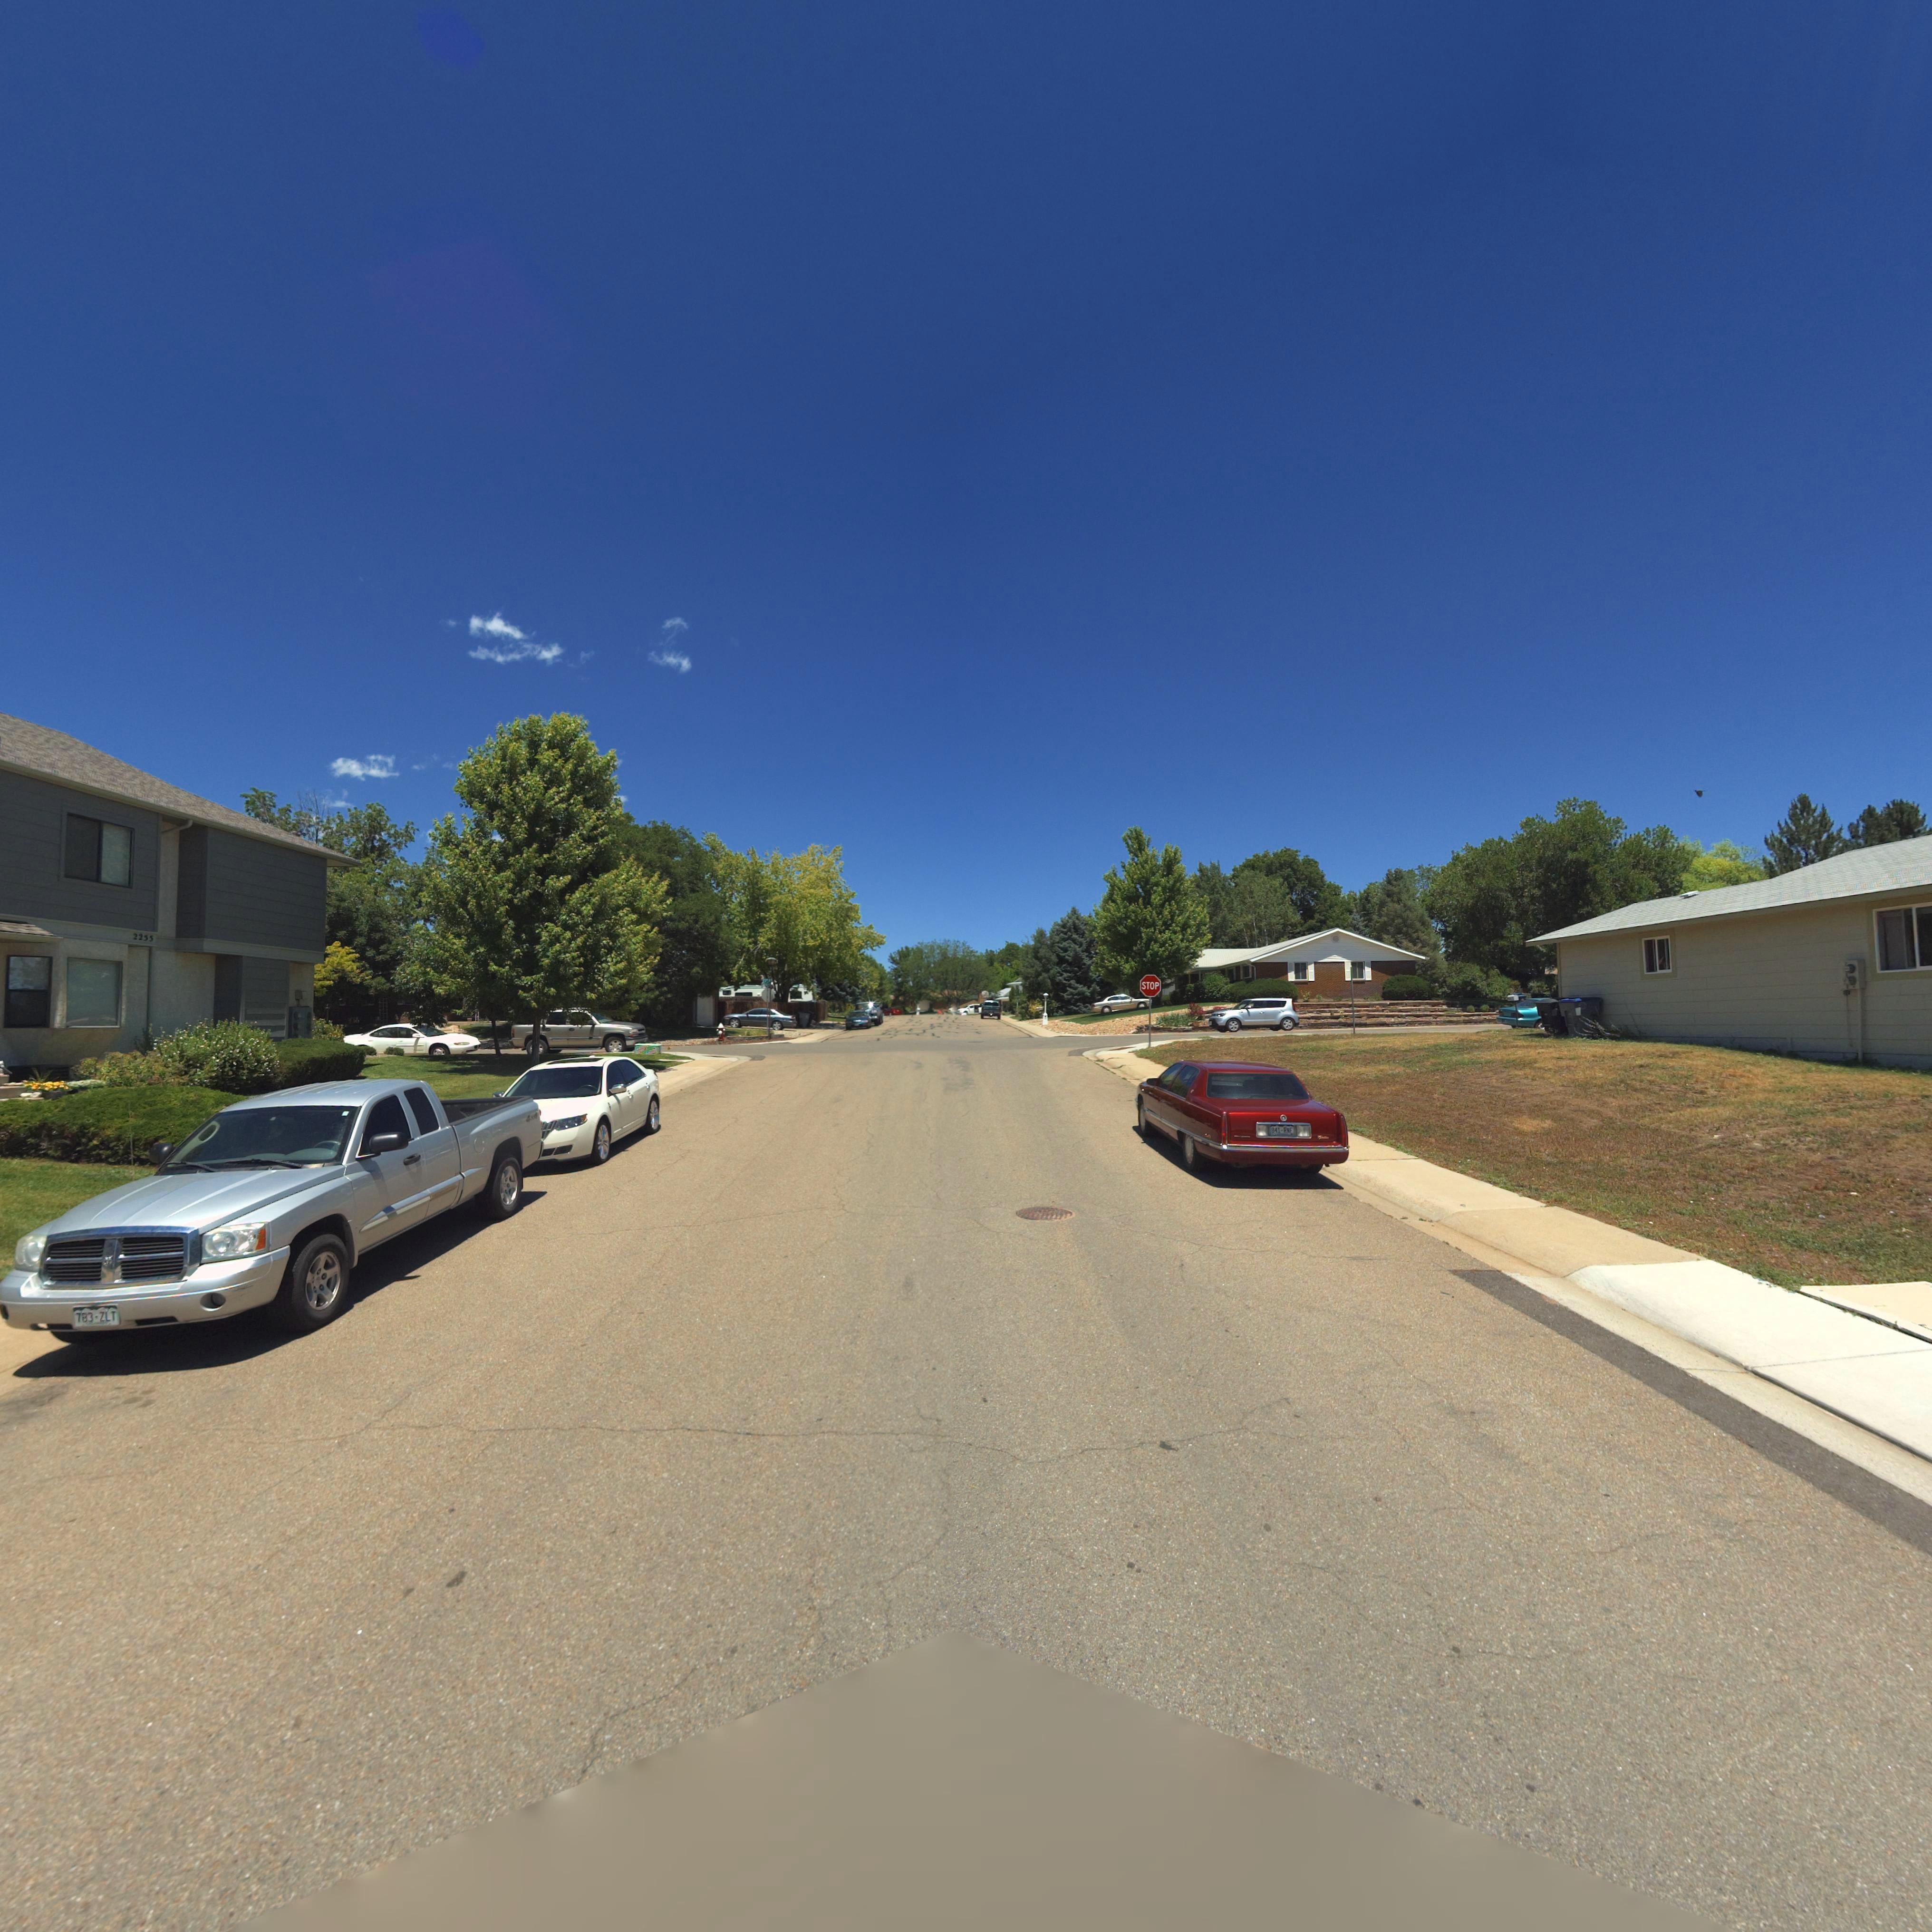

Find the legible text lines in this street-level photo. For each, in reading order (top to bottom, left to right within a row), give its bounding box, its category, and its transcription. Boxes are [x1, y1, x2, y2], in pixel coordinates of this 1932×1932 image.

[132, 932, 154, 942] StreetNumber: 2255